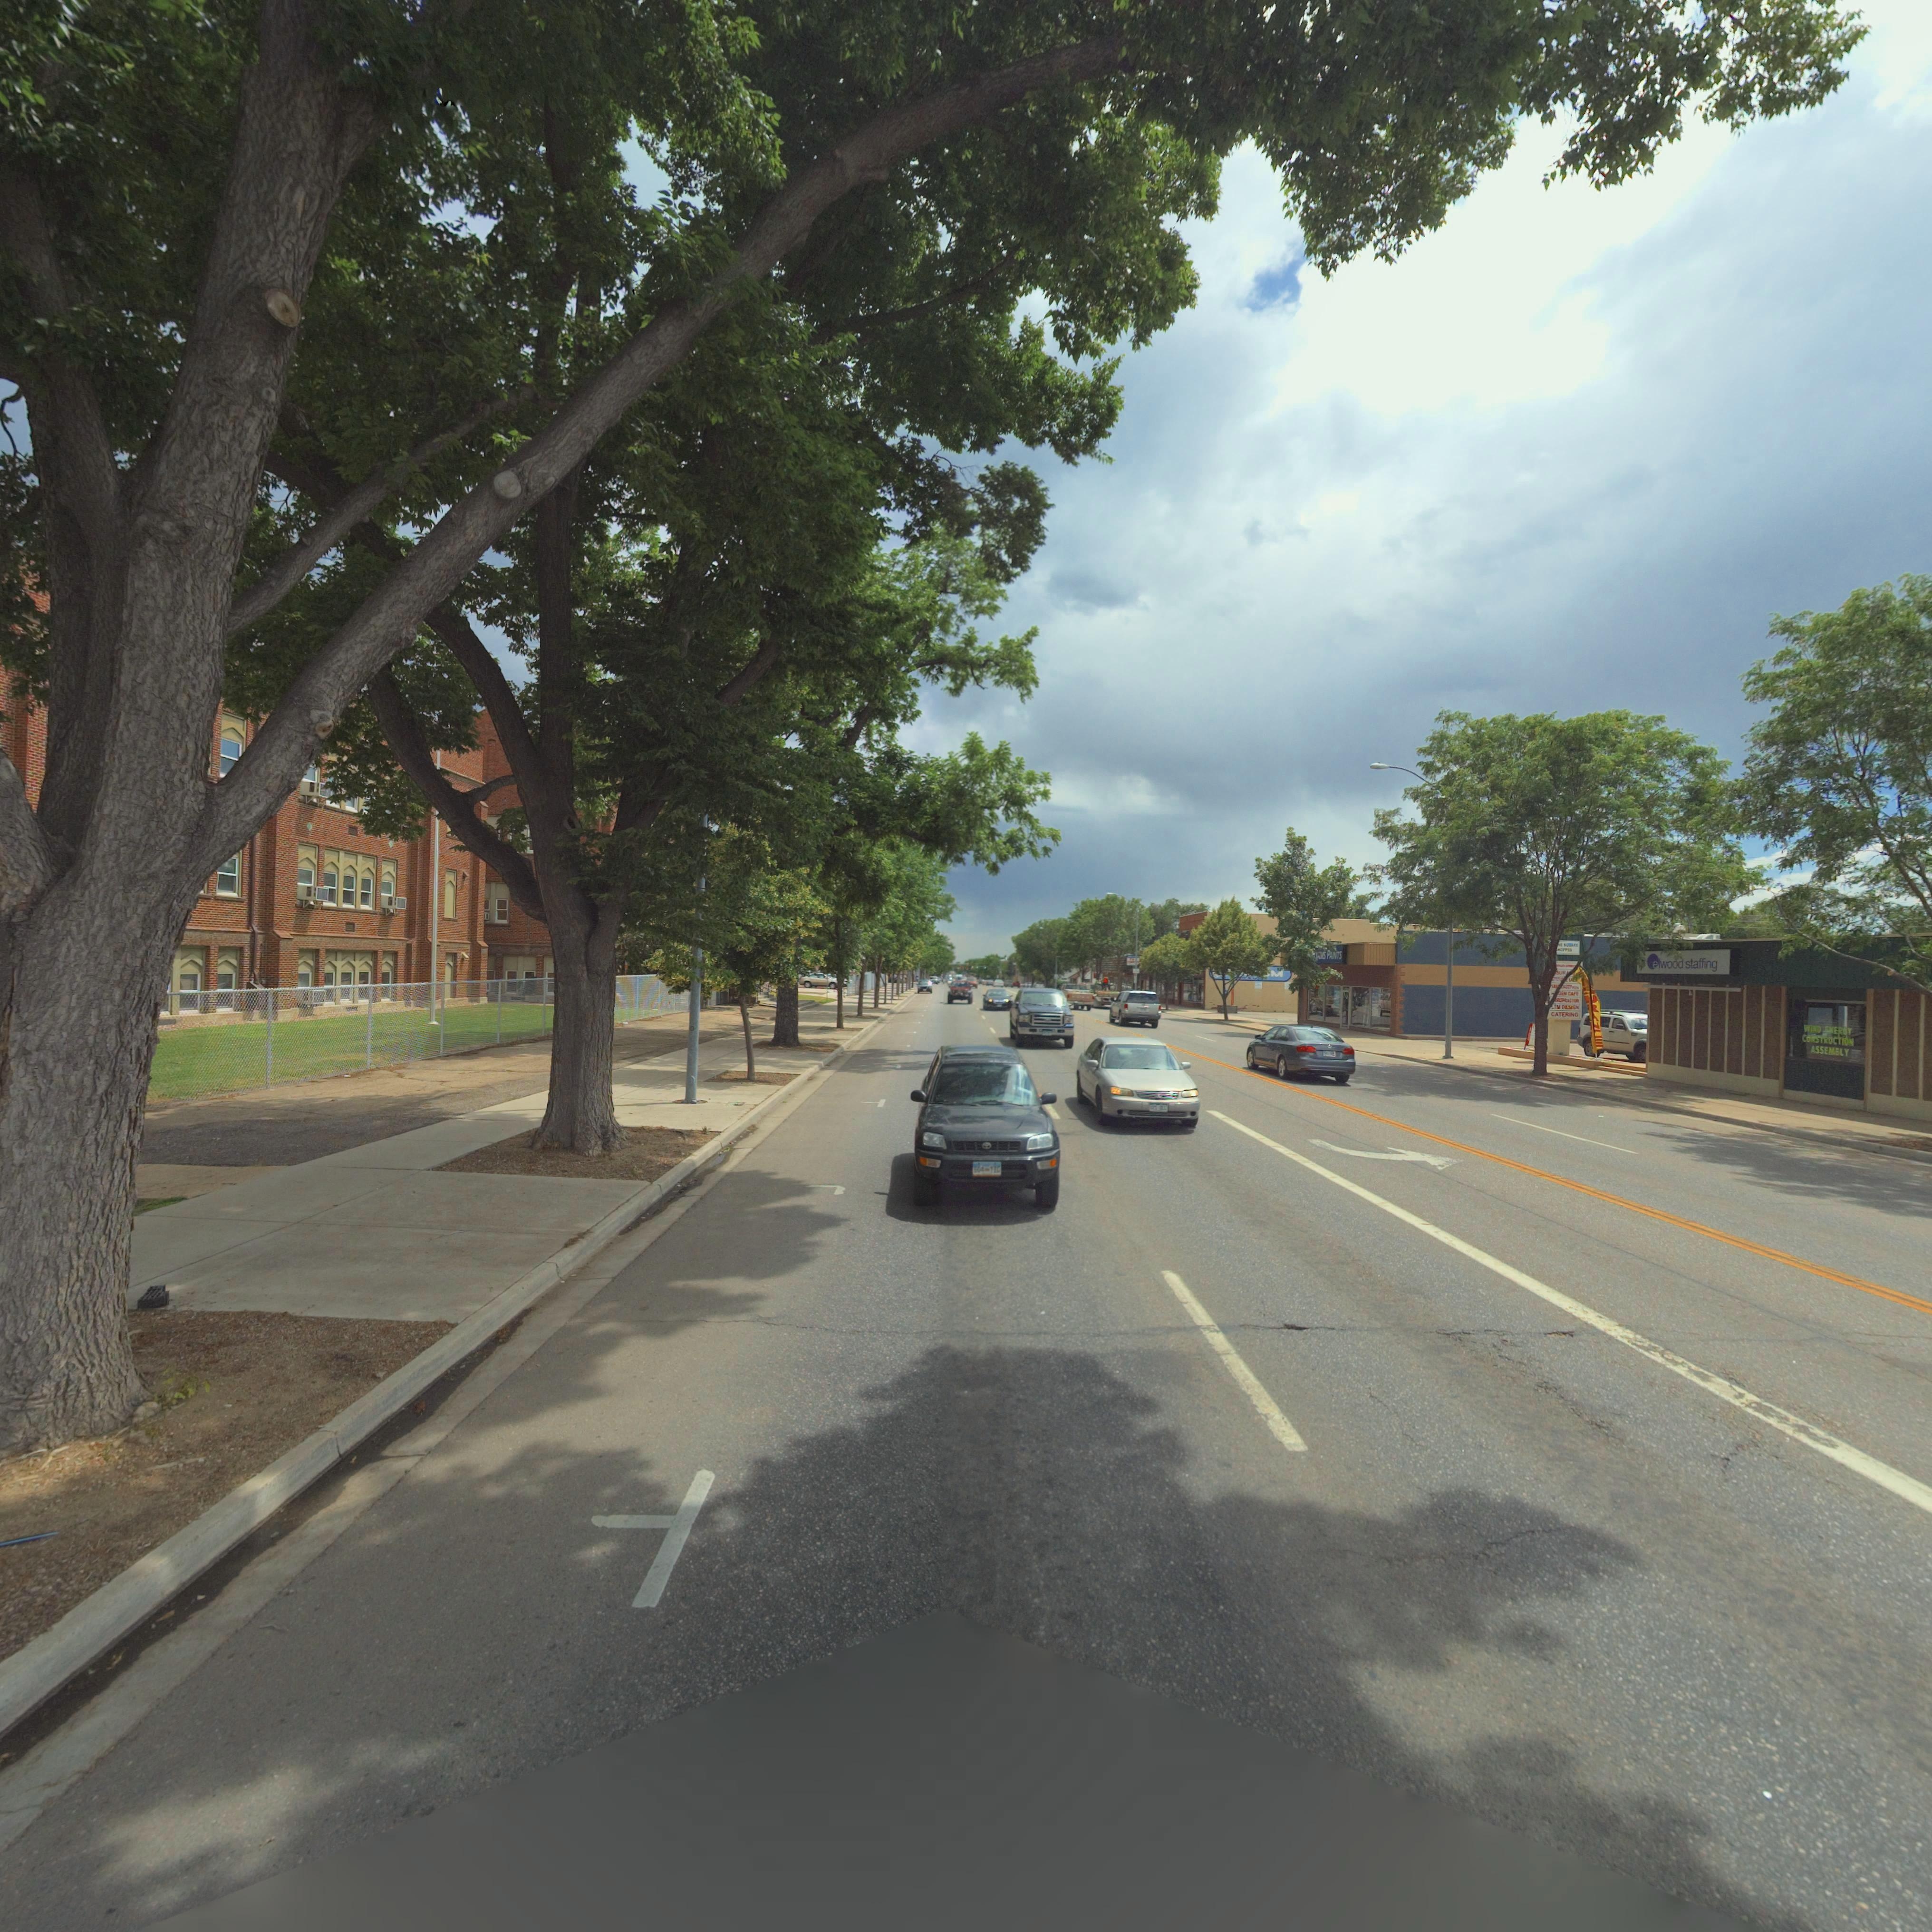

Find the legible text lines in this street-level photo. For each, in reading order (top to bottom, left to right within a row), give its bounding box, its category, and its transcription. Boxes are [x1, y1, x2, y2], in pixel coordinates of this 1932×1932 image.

[1315, 949, 1342, 959] BusinessName: IAMS PAINTS
[1652, 957, 1717, 972] BusinessName: elwood staffing
[1559, 991, 1579, 995] BusinessName: DEN CAFE
[1556, 1005, 1579, 1009] BusinessName: M DESIGN